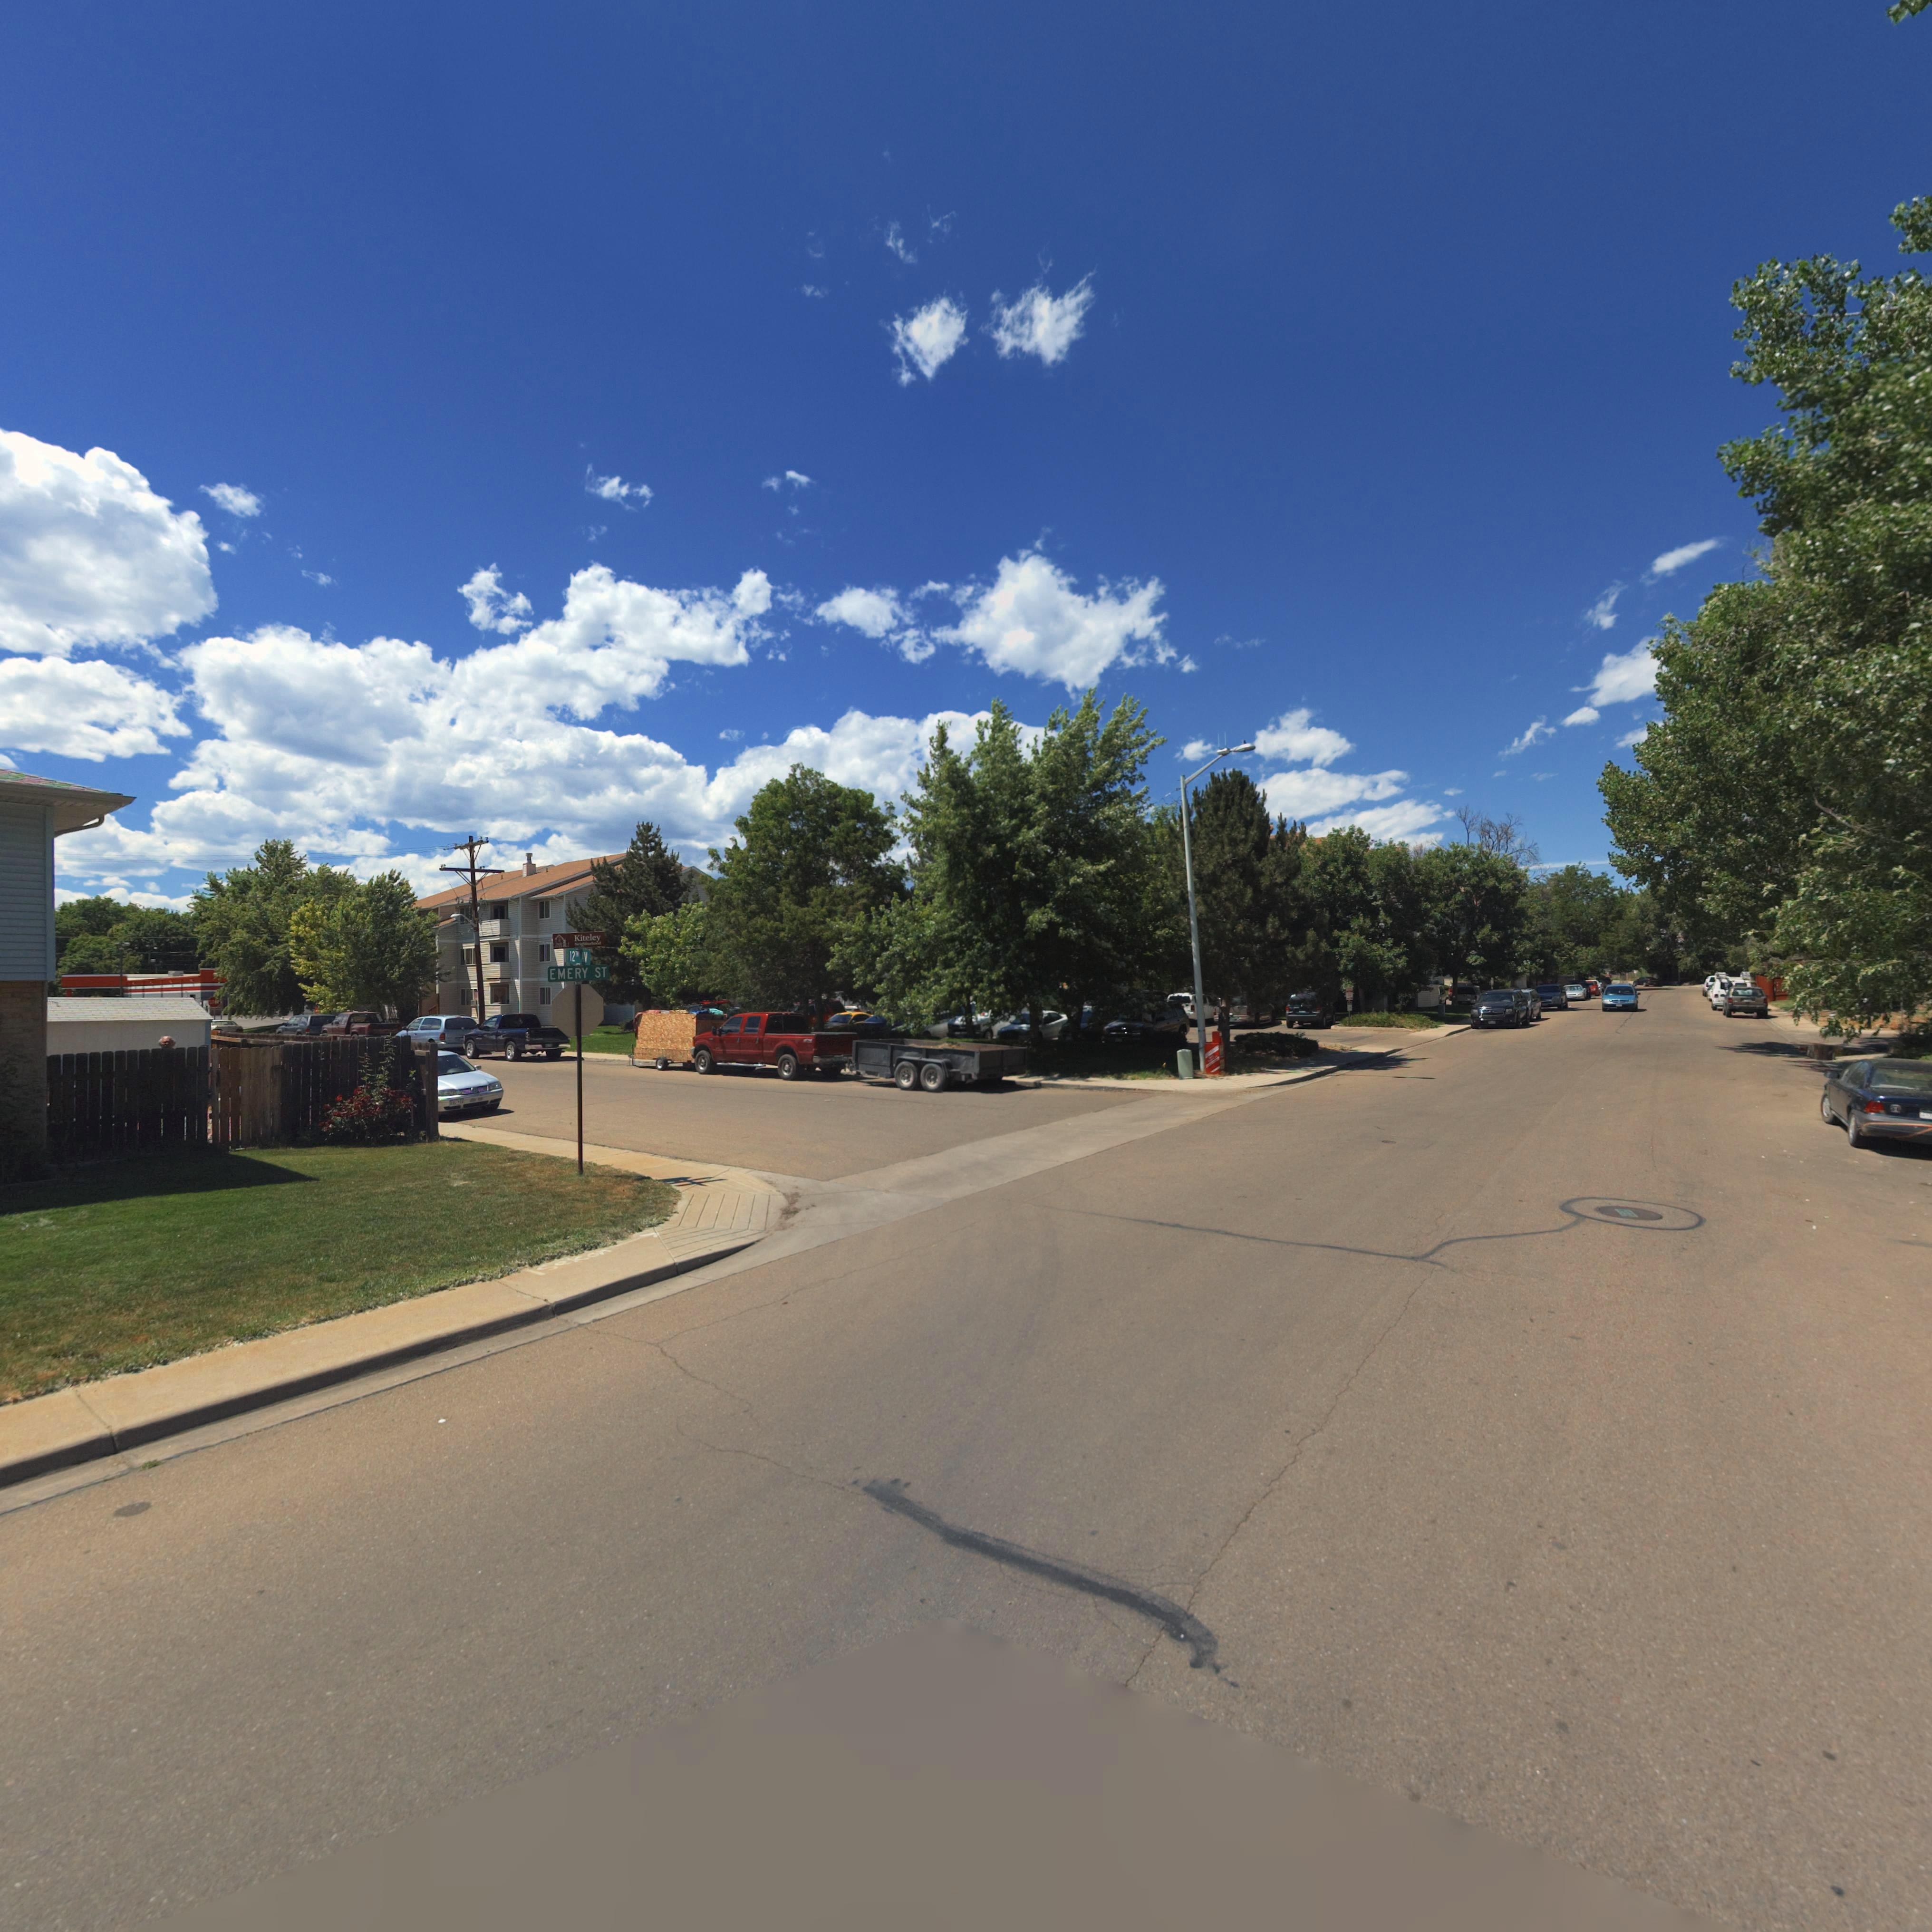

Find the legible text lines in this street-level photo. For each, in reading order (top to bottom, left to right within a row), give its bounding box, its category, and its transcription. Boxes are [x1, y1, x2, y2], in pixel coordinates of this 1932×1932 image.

[569, 950, 588, 963] StreetName: 12** AV
[550, 967, 607, 980] StreetName: EMERY ST